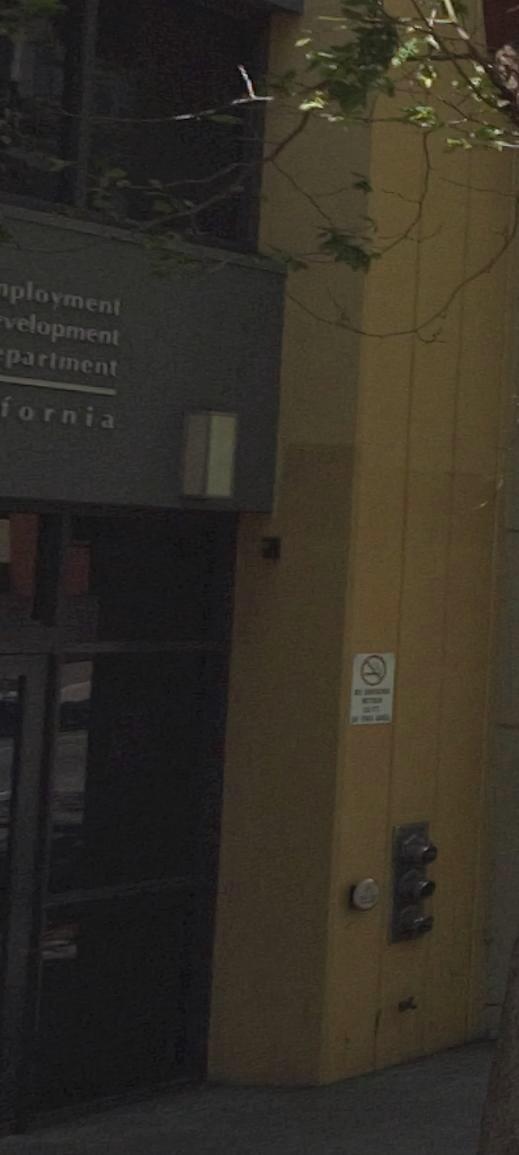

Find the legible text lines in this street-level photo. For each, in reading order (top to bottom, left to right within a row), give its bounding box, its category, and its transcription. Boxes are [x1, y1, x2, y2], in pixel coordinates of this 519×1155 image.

[7, 276, 124, 318] None: ployment
[2, 311, 123, 348] None: velopment
[3, 344, 118, 377] None: partment
[0, 393, 116, 431] None: fornia
[0, 500, 19, 655] StreetNumber: 745